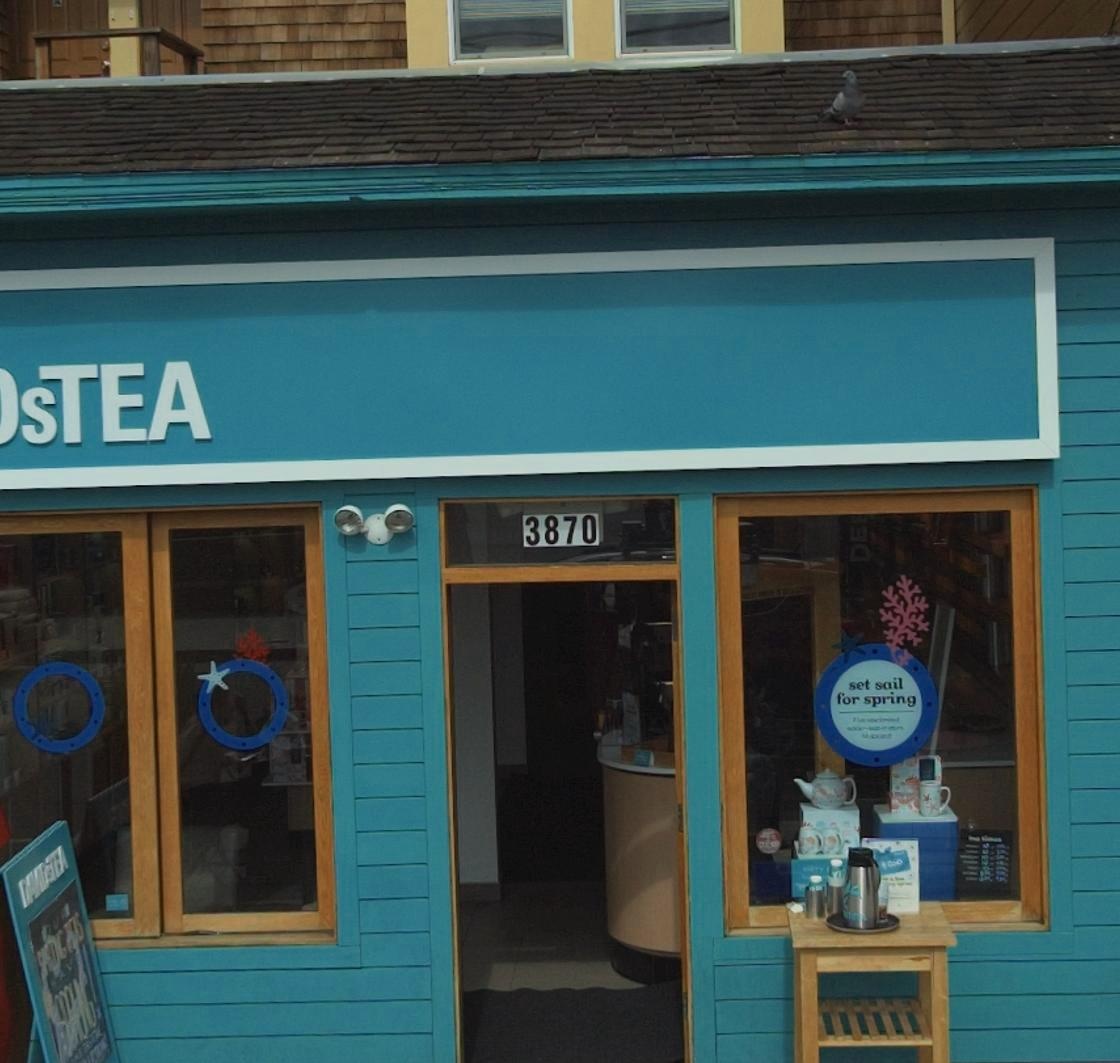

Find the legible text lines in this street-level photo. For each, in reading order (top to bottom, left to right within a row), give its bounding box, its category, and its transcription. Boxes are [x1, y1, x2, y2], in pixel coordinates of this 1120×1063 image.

[0, 354, 222, 449] BusinessName: *sTEA
[523, 514, 598, 547] StreetNumber: 3870
[834, 690, 918, 709] None: for spring
[848, 675, 906, 692] None: set sail
[15, 840, 74, 912] BusinessName: DAMEsTEA